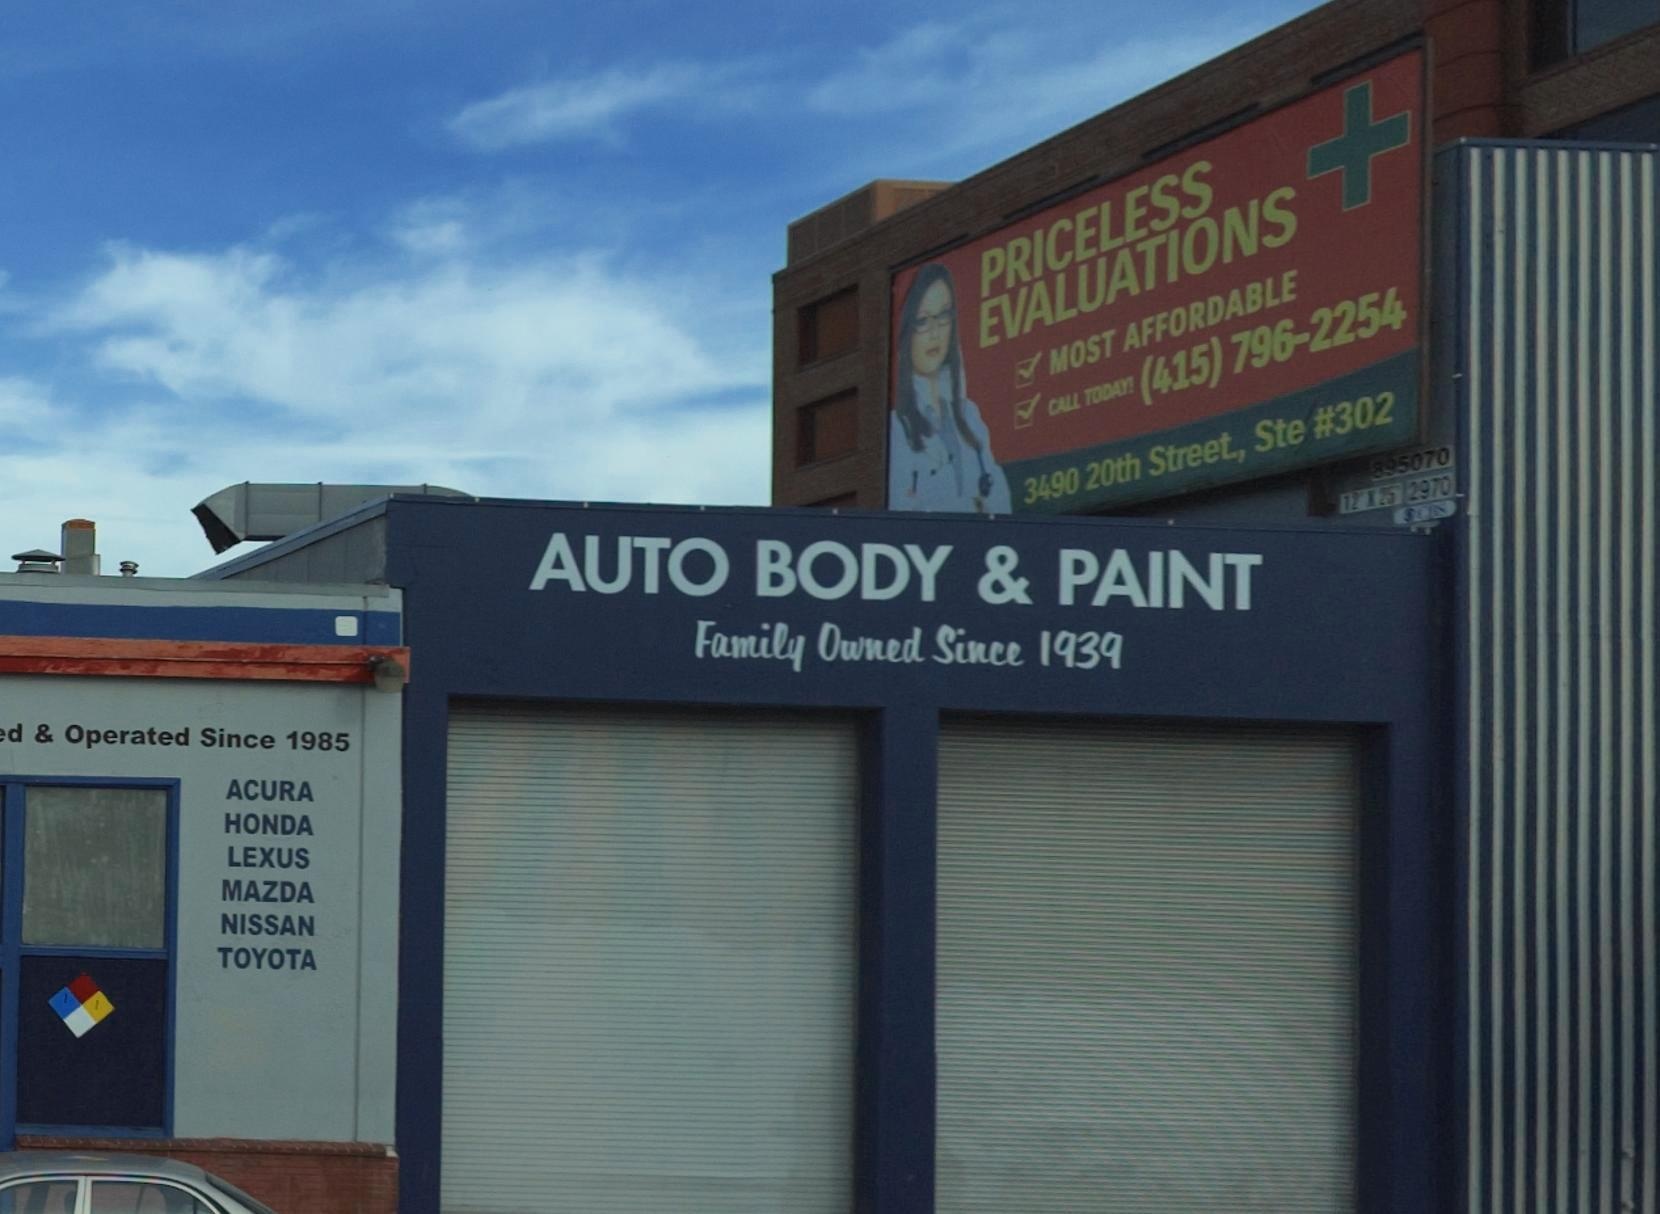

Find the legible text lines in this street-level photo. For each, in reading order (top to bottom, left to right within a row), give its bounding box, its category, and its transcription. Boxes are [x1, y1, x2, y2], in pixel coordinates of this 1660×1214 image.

[976, 151, 1225, 302] None: PRICELESS
[976, 176, 1304, 354] None: EVALUATIONS
[1045, 261, 1303, 383] None: MOST AFFORDABLE
[1145, 278, 1413, 403] None: 415)796-2254
[1045, 368, 1138, 423] None: CALL TODAY!
[1249, 385, 1400, 458] None: Ste #302
[1018, 460, 1084, 509] None: 3490
[1081, 422, 1239, 495] None: 20th Street
[1340, 480, 1402, 517] None: 12 * 25
[1369, 441, 1457, 483] None: 895070
[1404, 469, 1455, 505] None: 2970
[519, 527, 1270, 617] BusinessName: AUTO BODY & PAINT
[687, 610, 1131, 683] None: Family Owned Since 1939
[4, 718, 353, 754] None: d & Operated Since 1985
[217, 776, 319, 804] None: ACURA
[221, 808, 323, 839] None: HONDA
[224, 842, 315, 873] None: LEXUS
[218, 875, 324, 907] None: MAZDA
[217, 908, 323, 940] None: NISSAN
[212, 942, 326, 974] None: TOYOTA